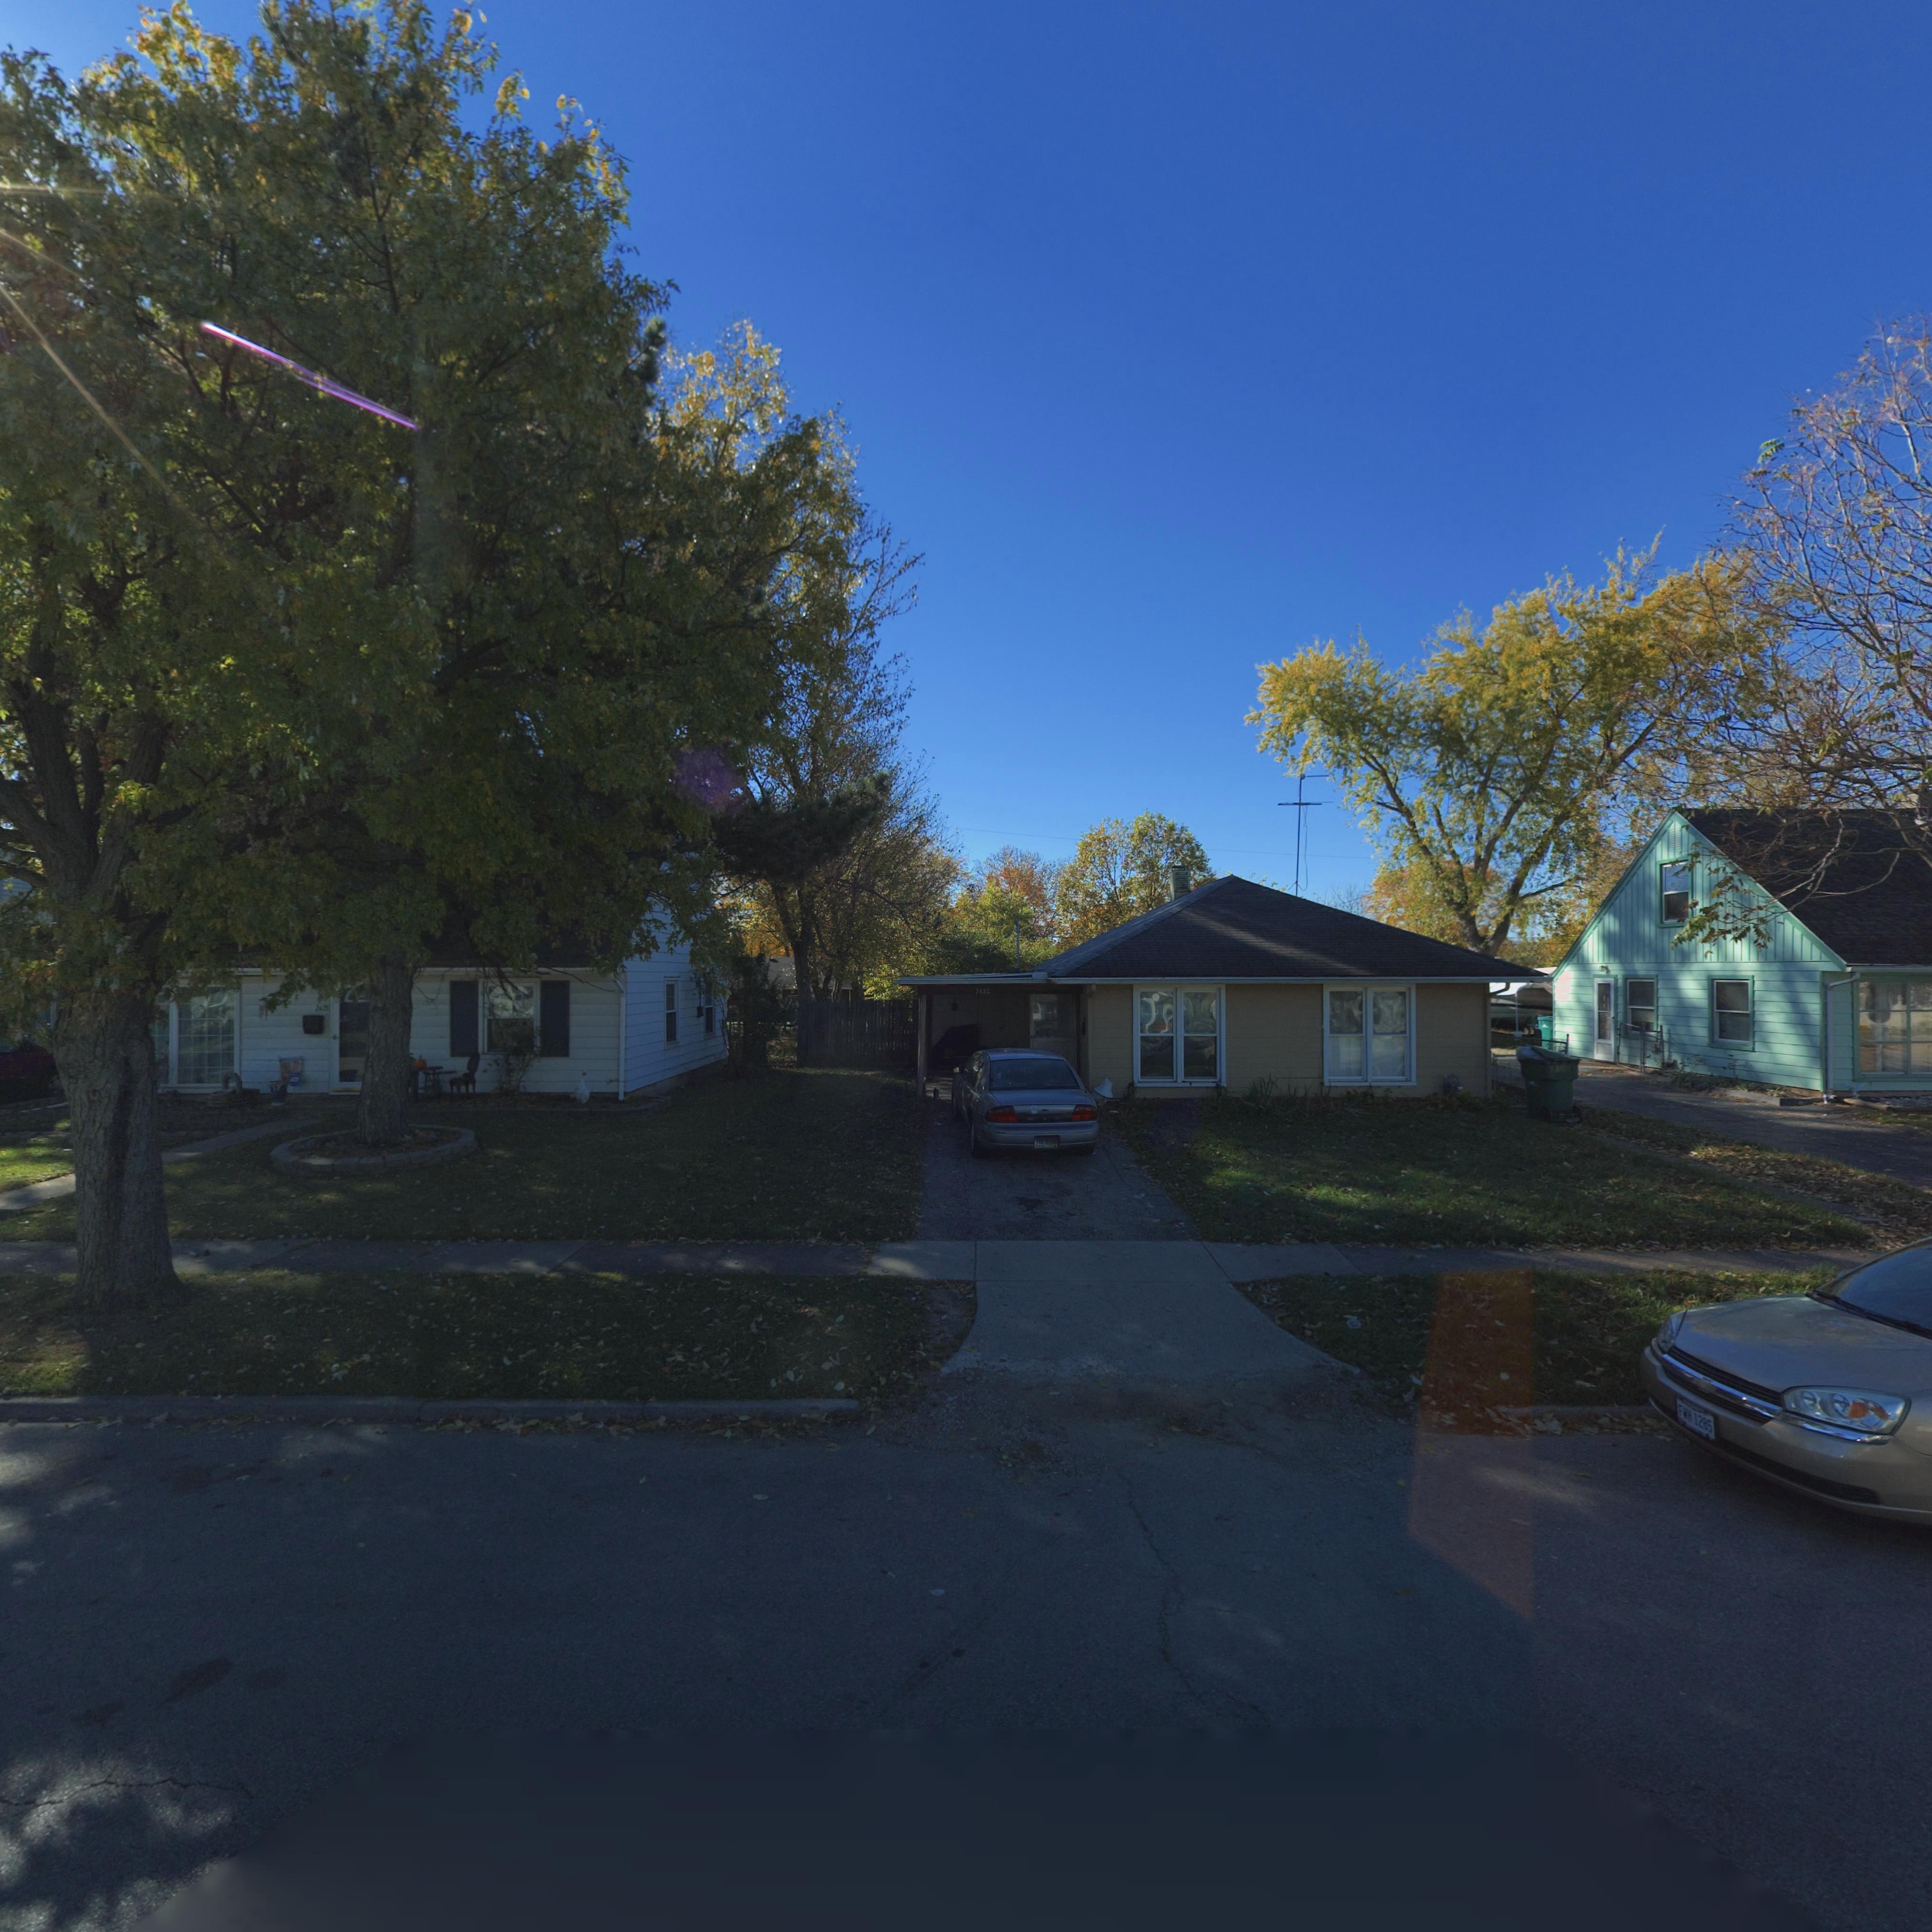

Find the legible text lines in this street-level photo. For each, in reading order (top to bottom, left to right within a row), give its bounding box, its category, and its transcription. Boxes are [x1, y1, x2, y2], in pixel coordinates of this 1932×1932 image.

[975, 988, 991, 995] StreetNumber: 243*
[314, 1005, 331, 1012] StreetNumber: 2428